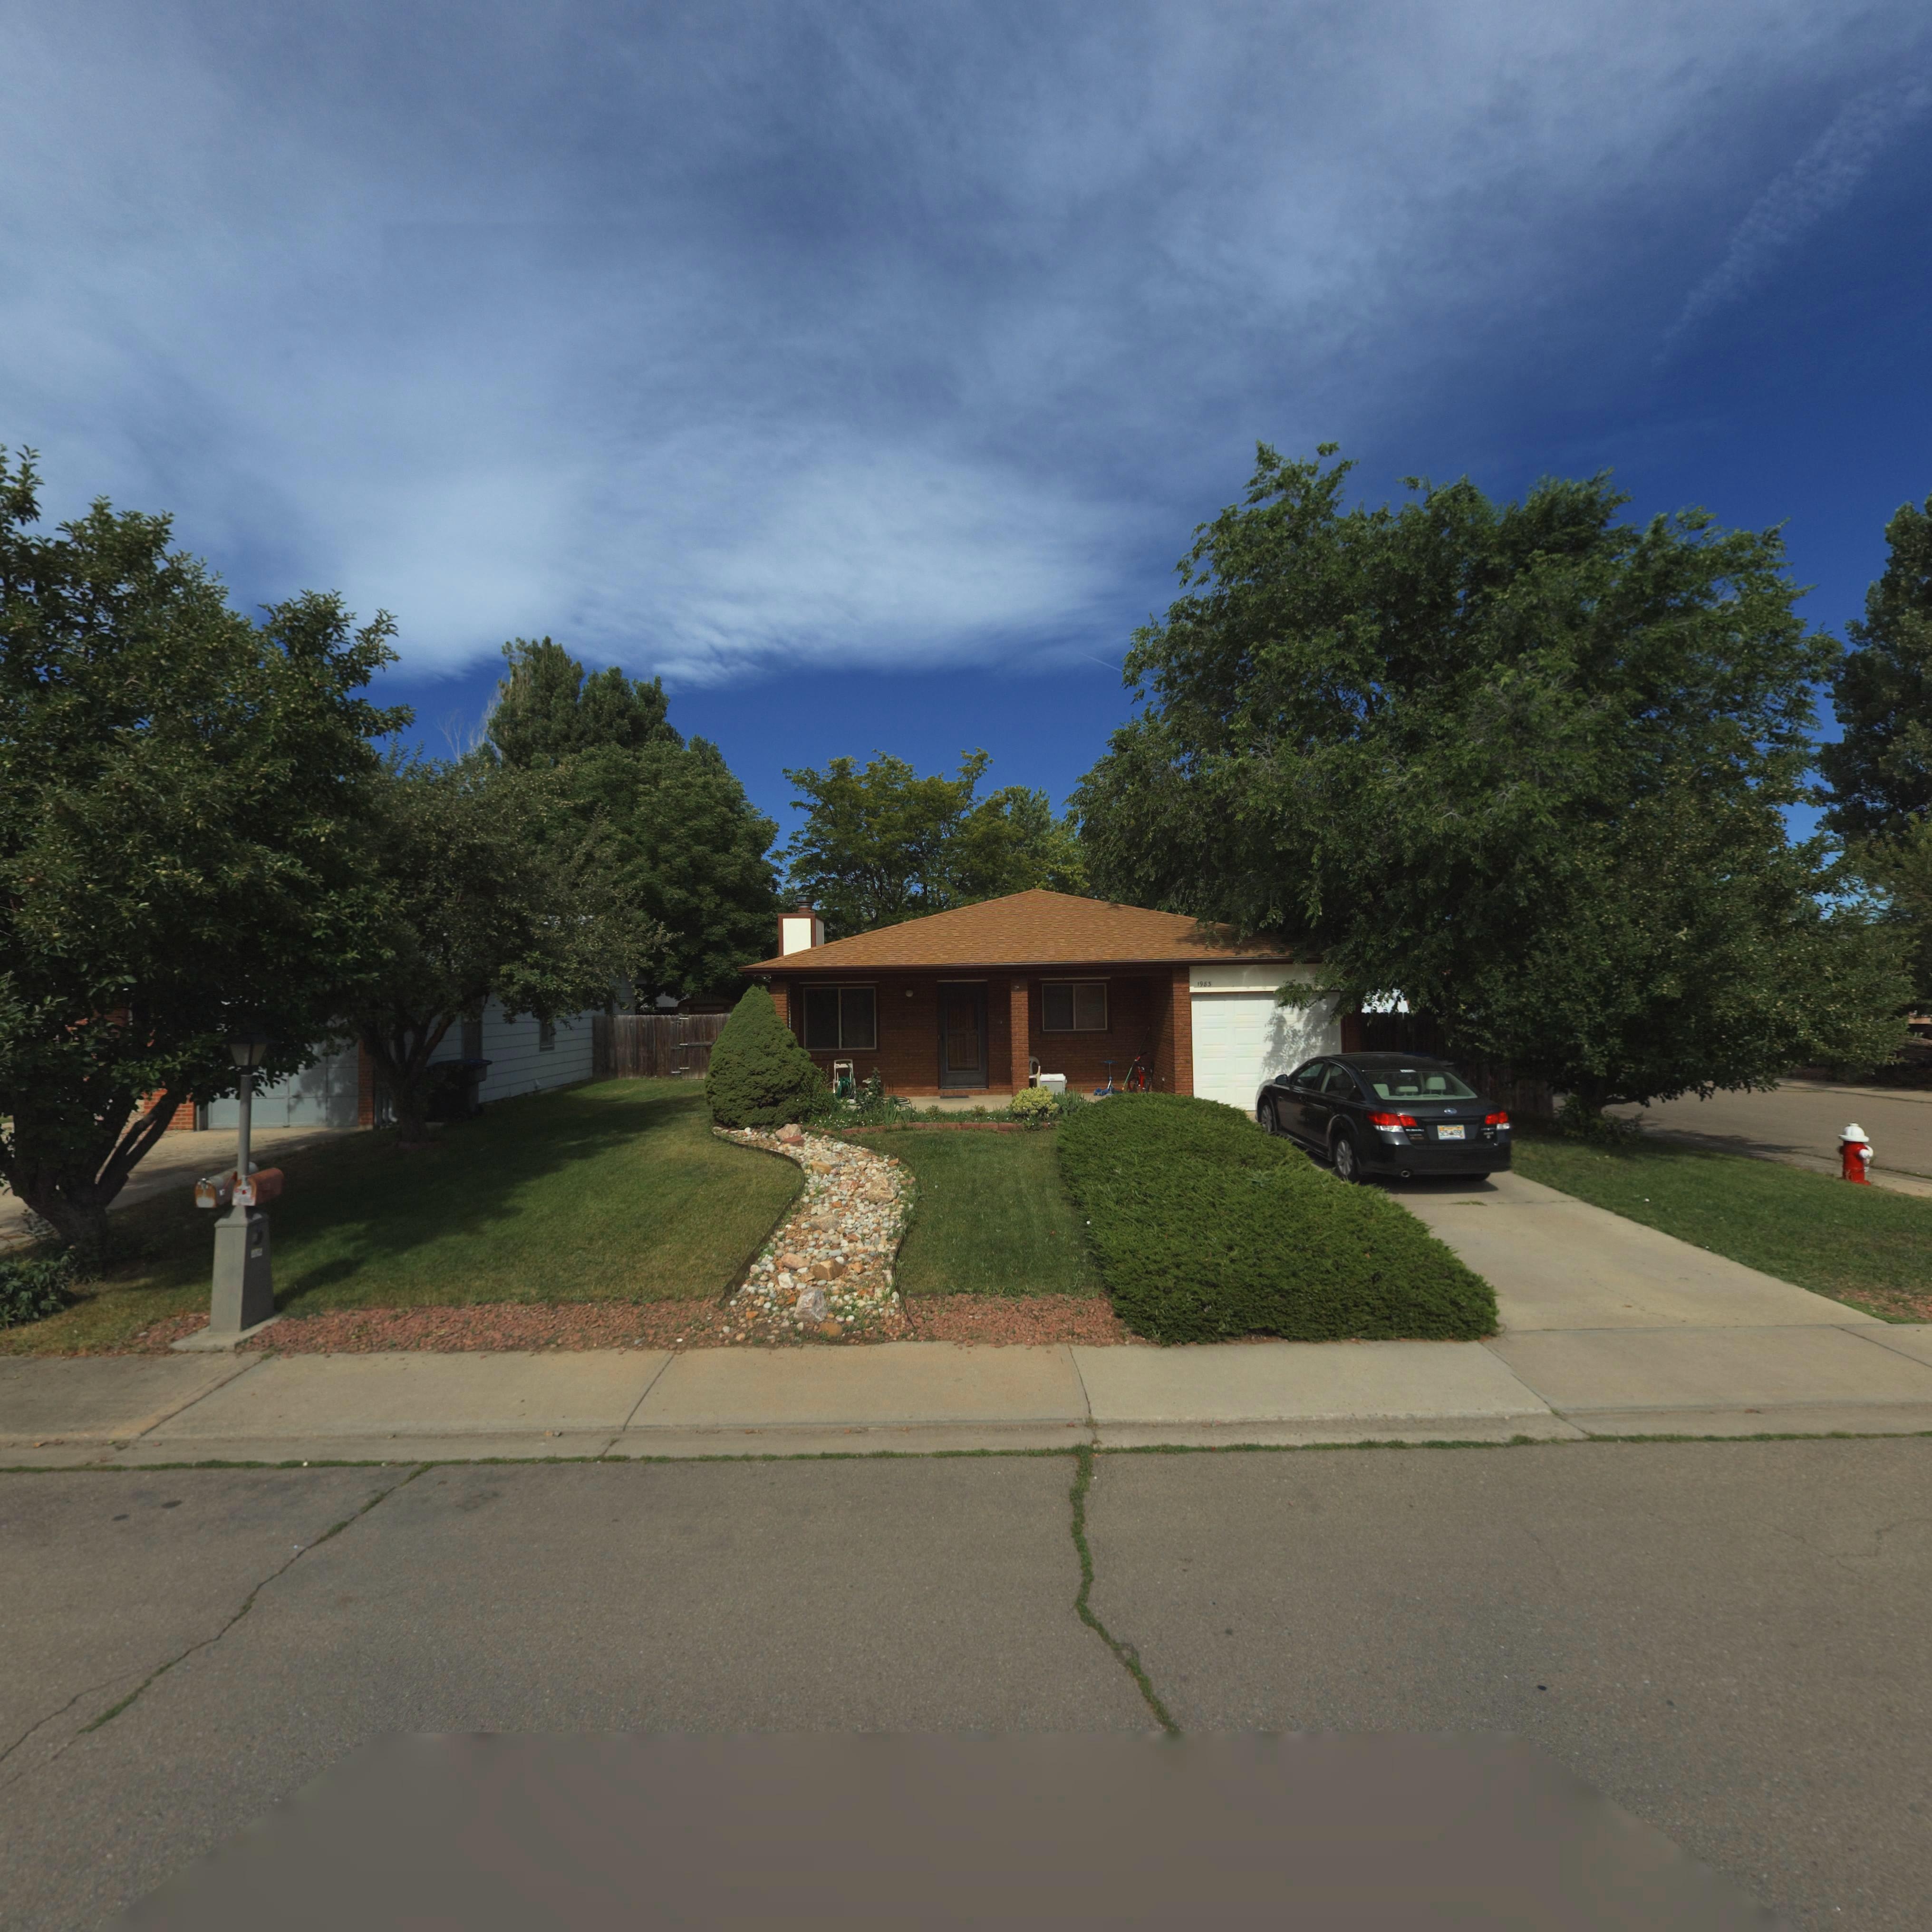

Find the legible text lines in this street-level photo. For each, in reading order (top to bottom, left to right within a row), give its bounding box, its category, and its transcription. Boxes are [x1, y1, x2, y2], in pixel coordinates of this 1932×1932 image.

[1197, 981, 1212, 987] StreetNumber: 198*